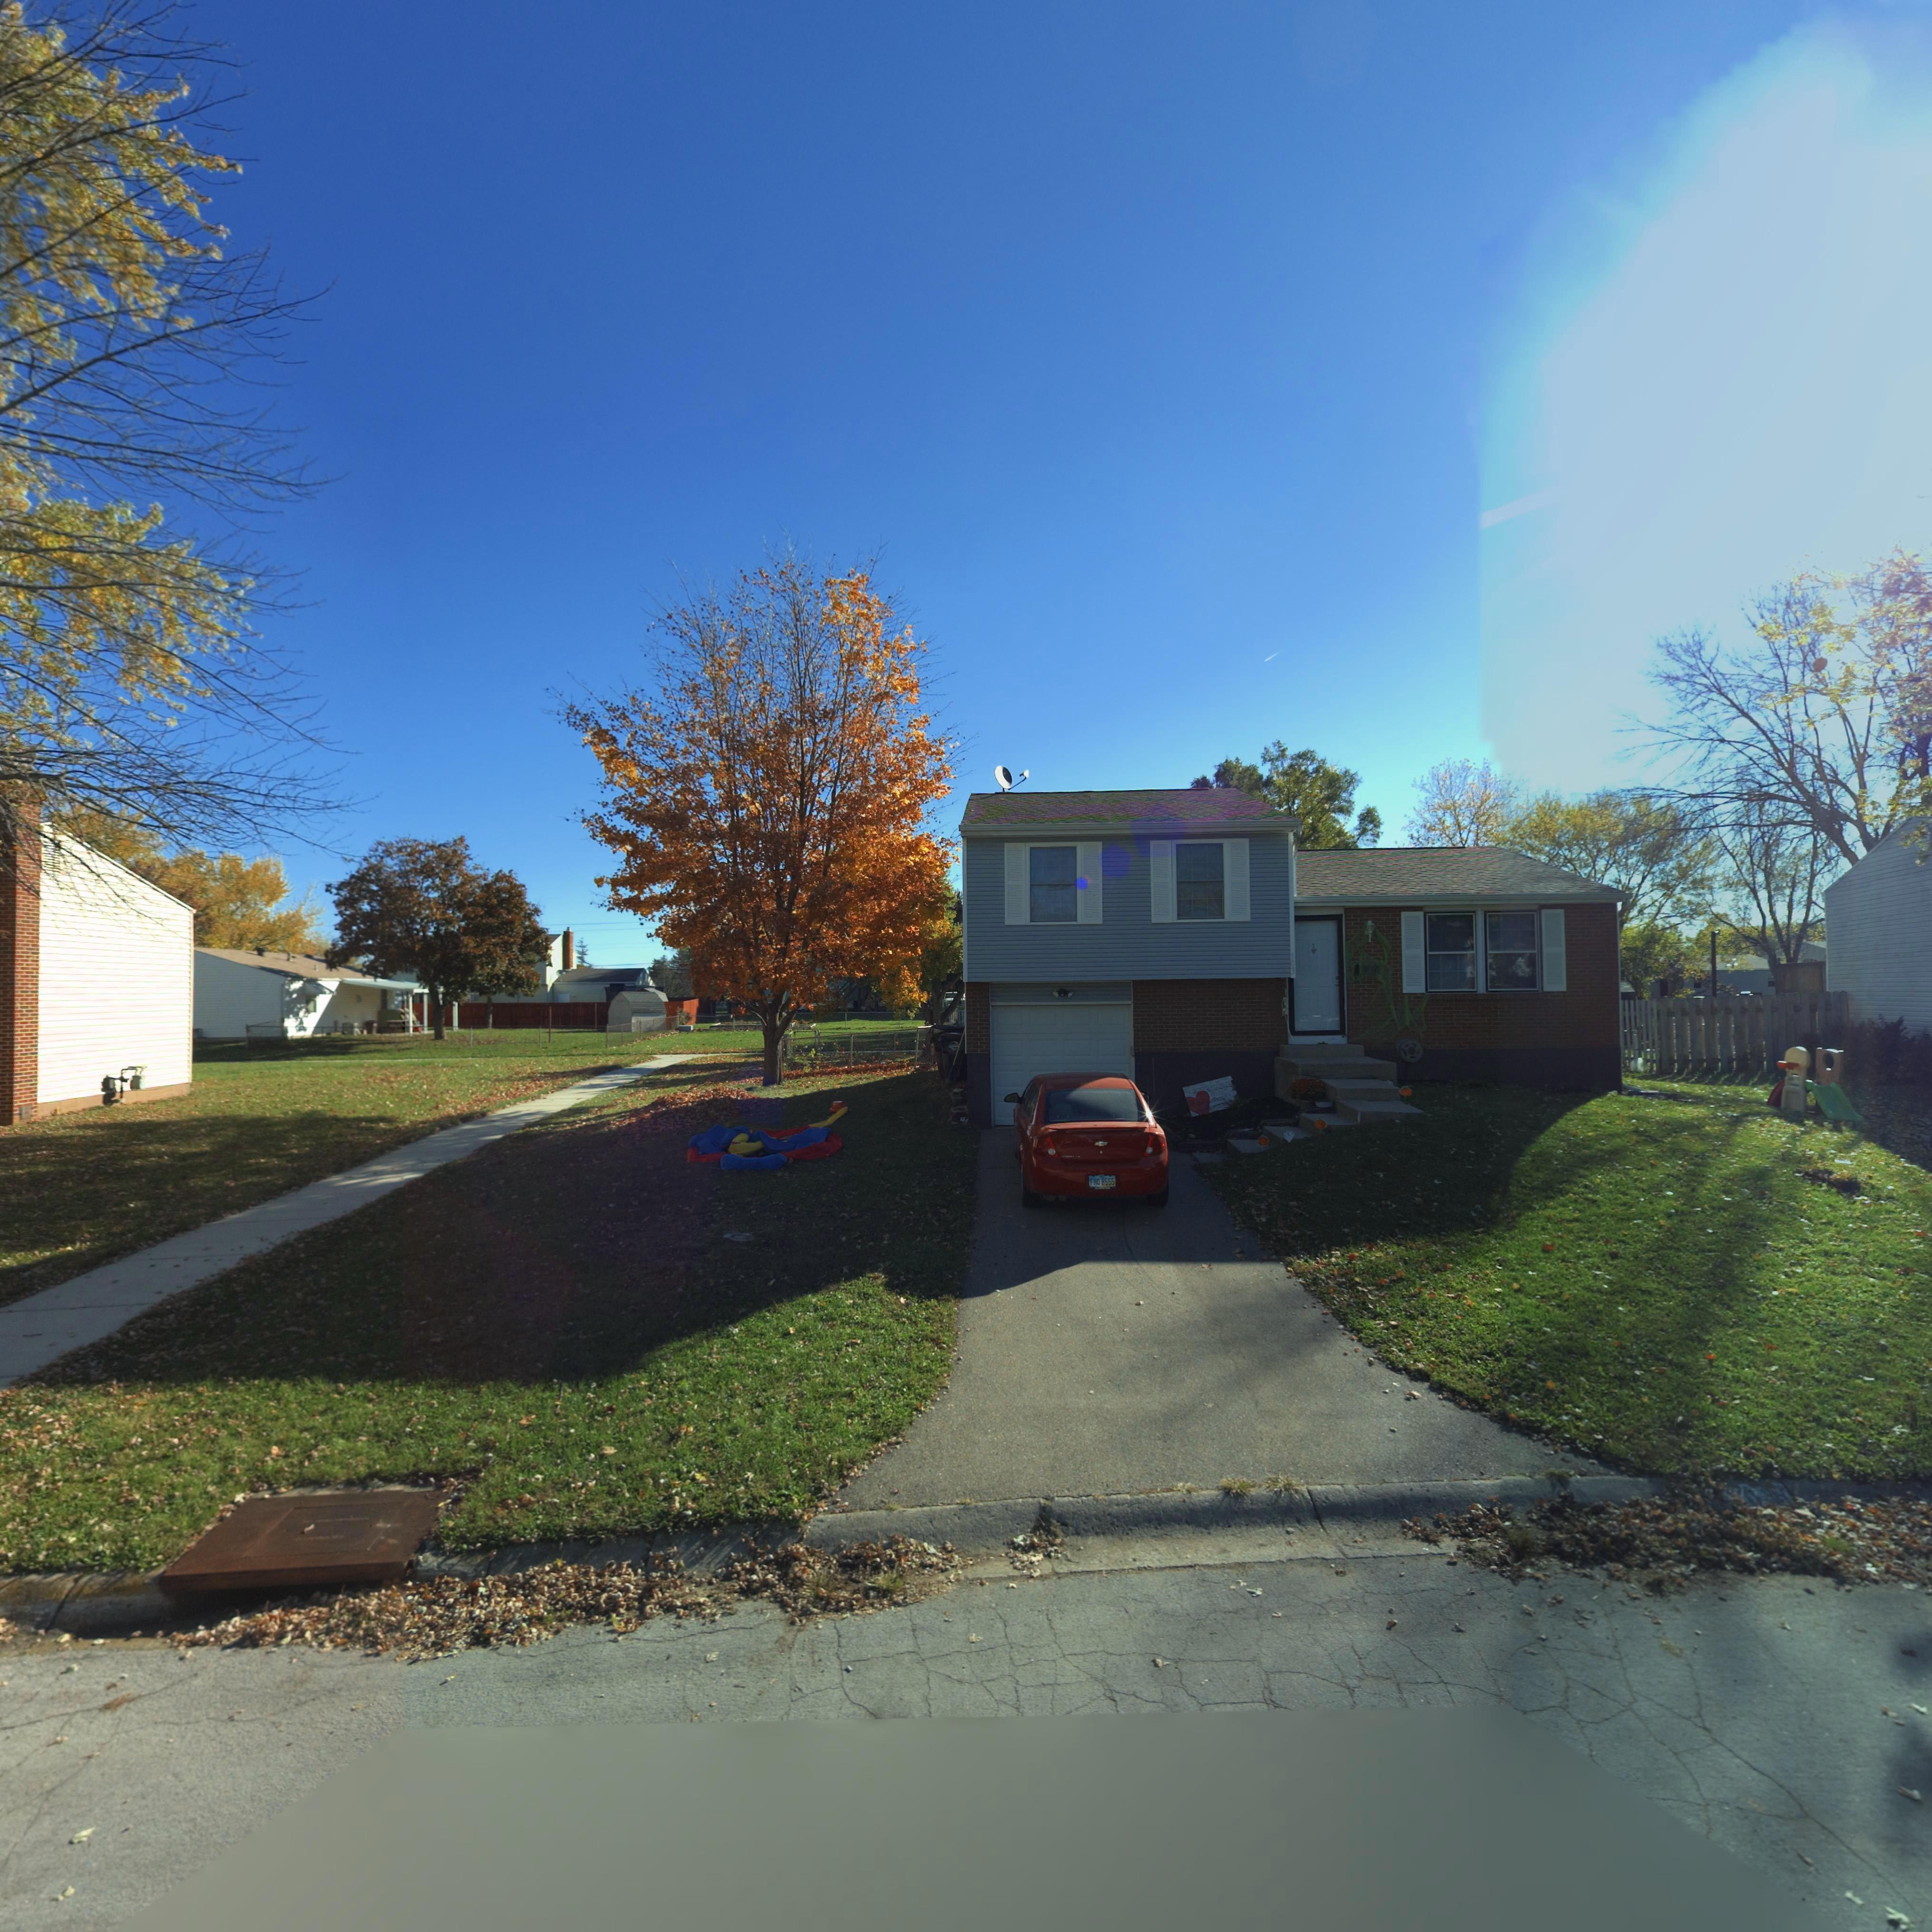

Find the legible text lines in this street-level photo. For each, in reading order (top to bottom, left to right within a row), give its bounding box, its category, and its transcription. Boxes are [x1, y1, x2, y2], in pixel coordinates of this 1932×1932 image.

[1290, 952, 1295, 975] StreetNumber: 103
[1741, 1485, 1765, 1510] StreetNumber: 0